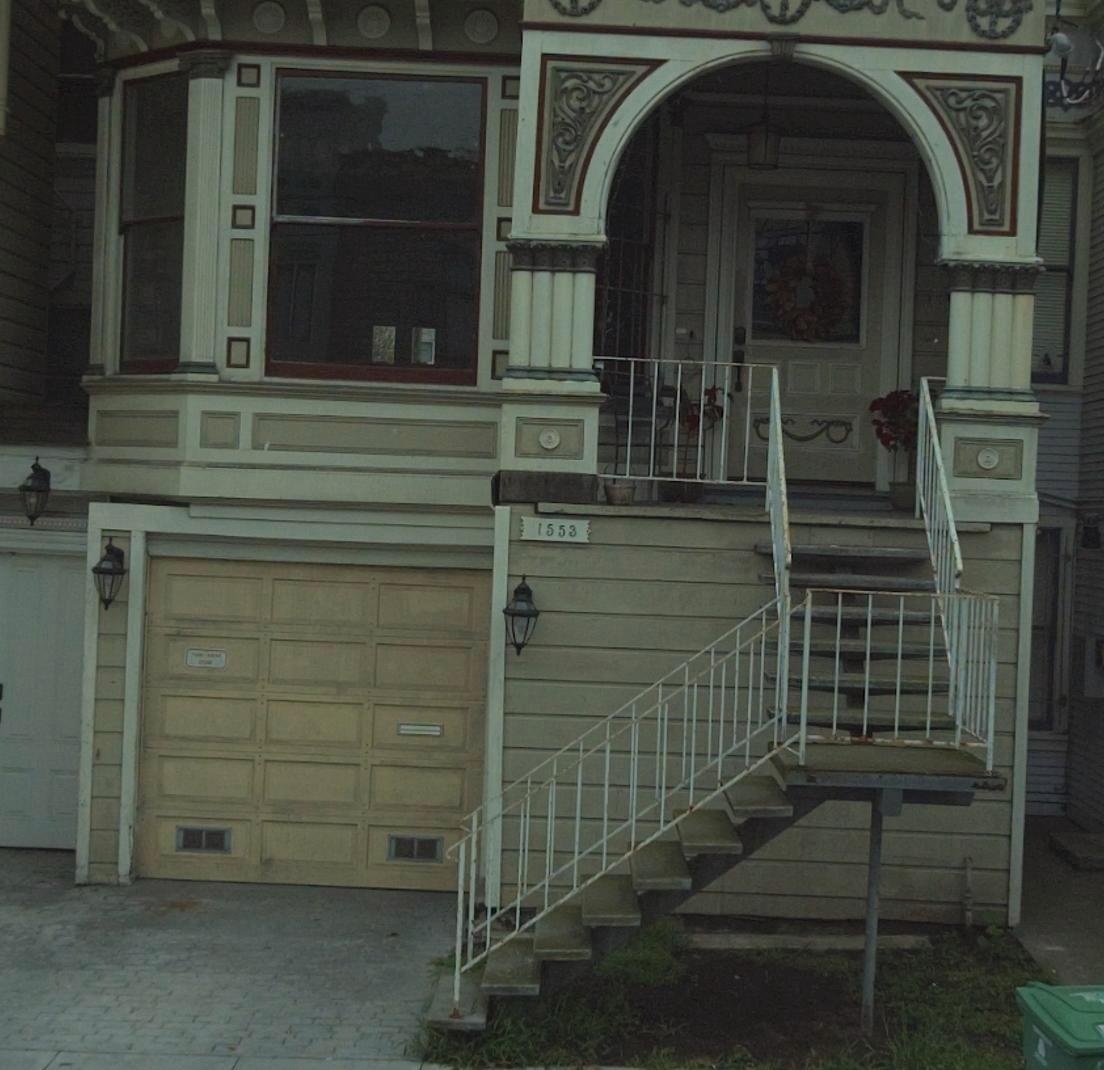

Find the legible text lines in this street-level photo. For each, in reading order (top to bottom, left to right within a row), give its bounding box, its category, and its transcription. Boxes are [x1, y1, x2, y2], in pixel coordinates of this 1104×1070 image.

[537, 522, 578, 539] StreetNumber: 1553